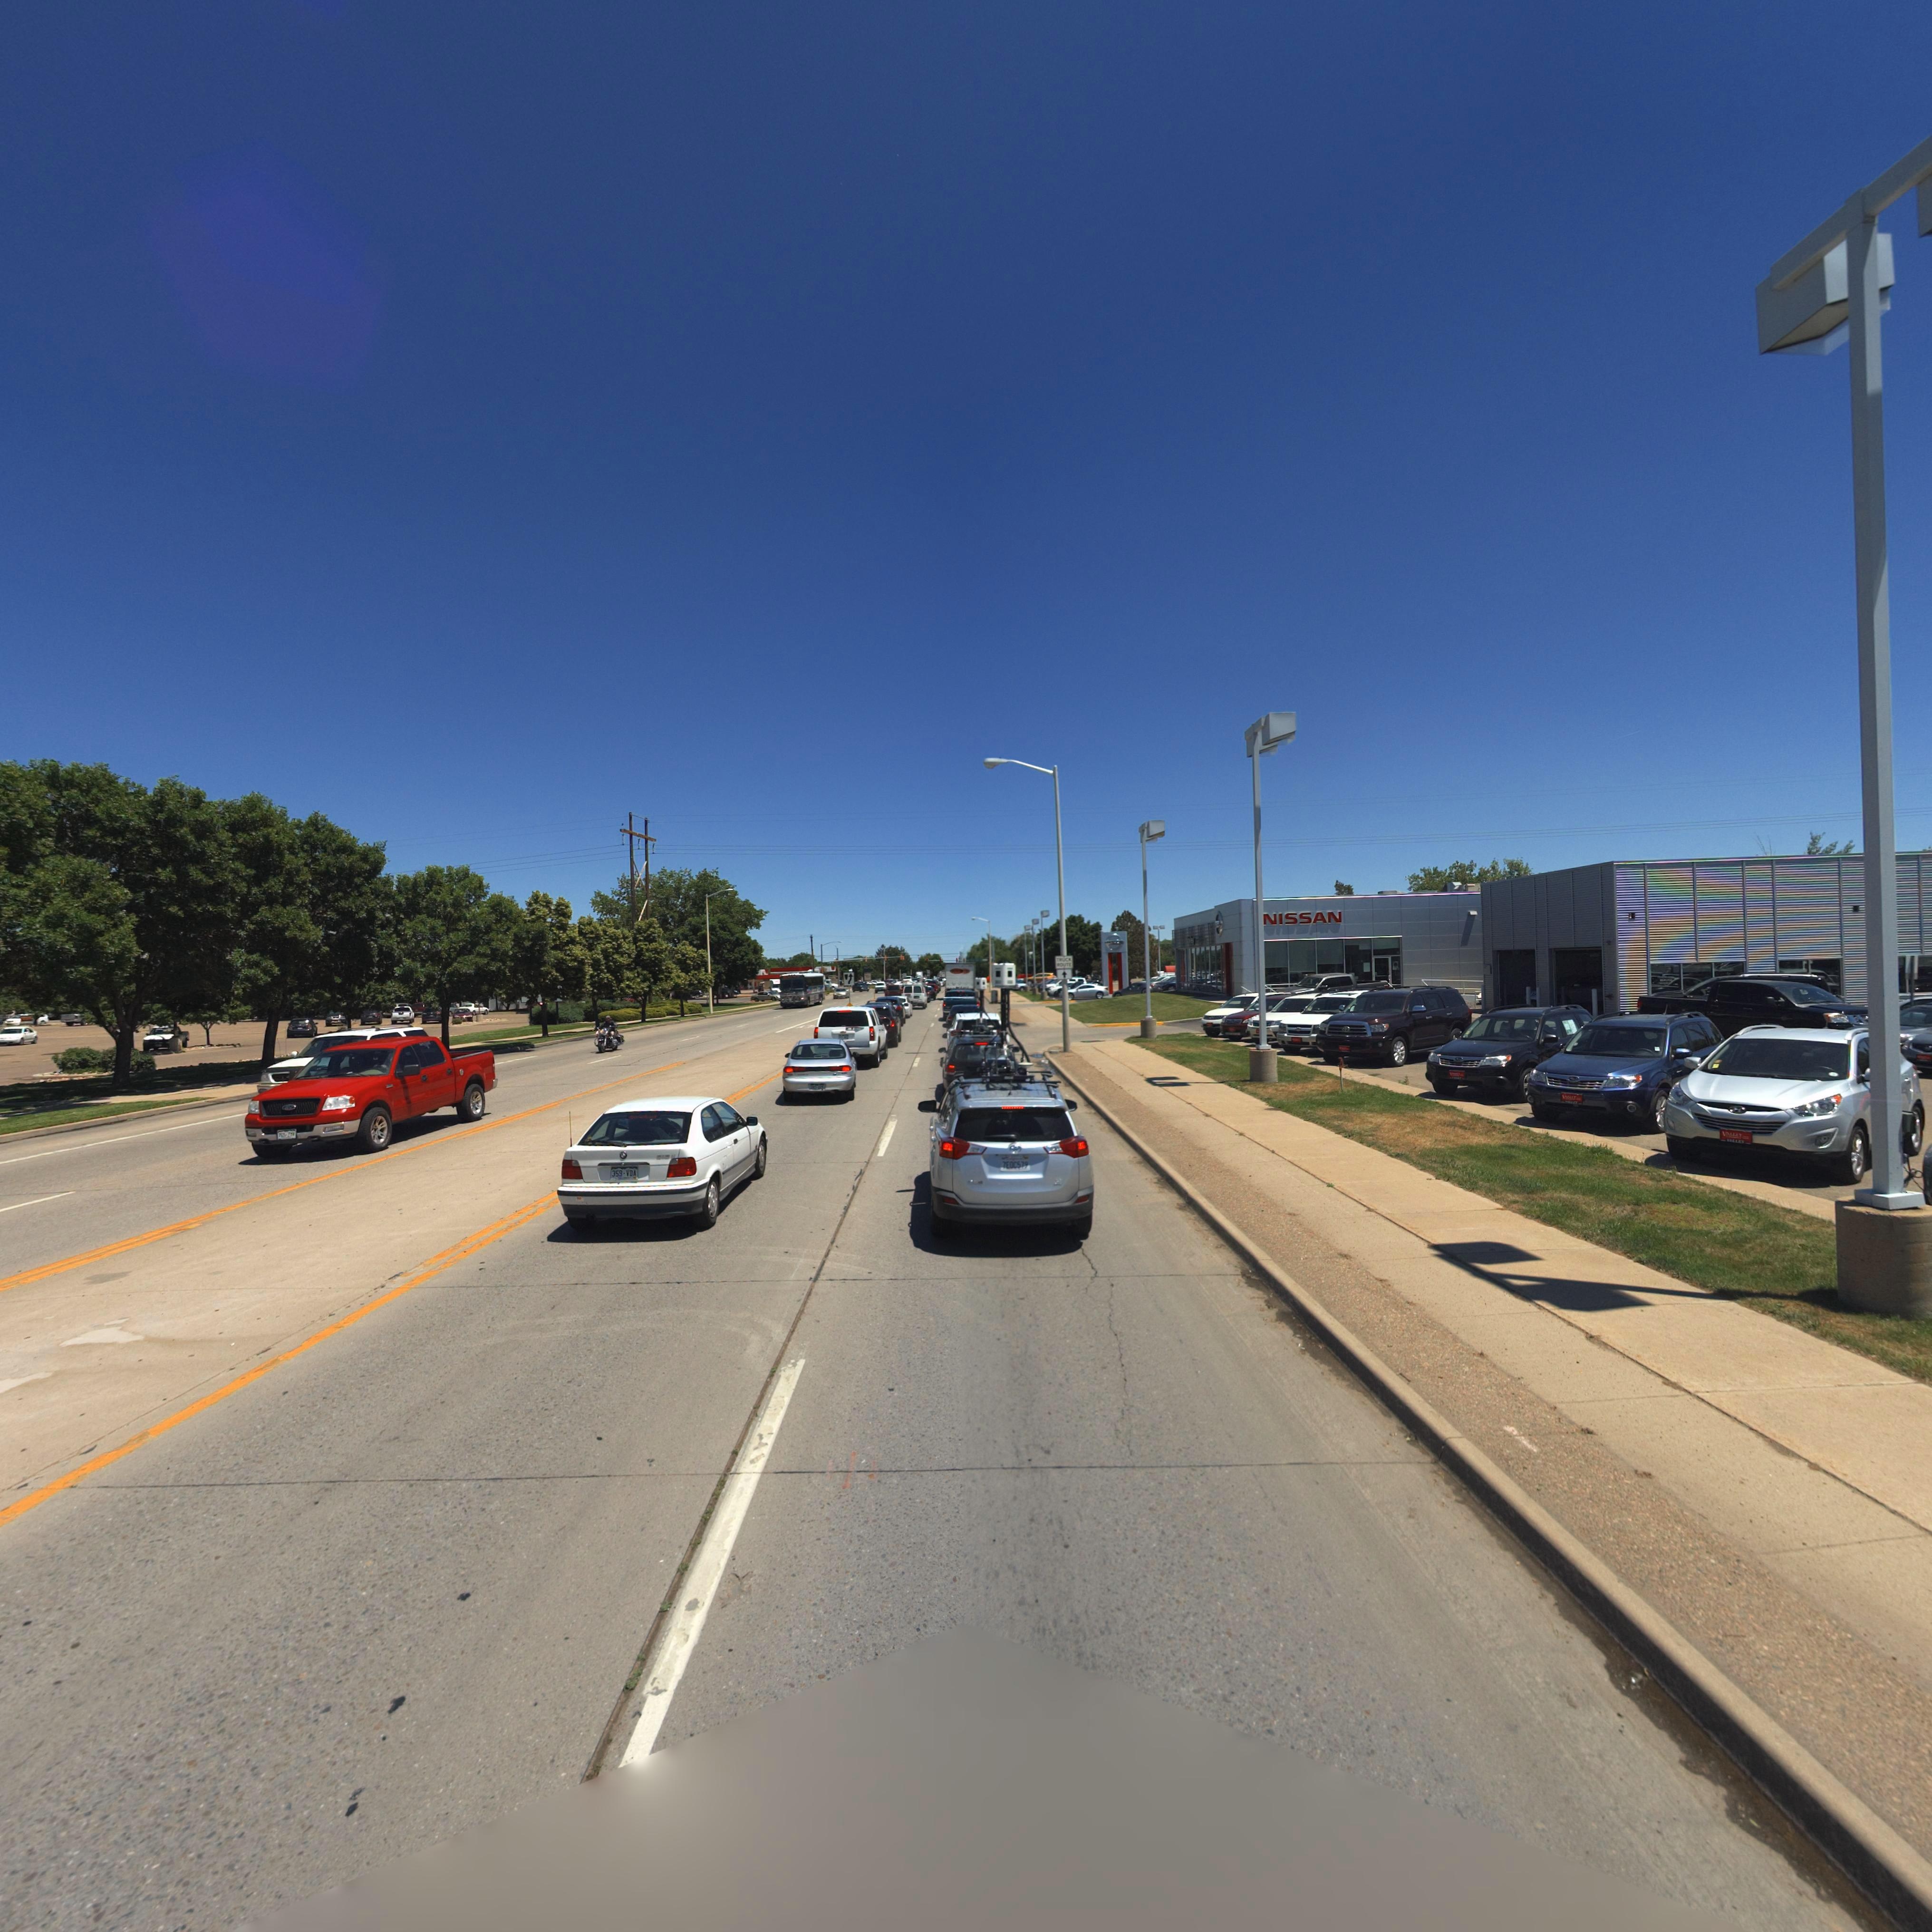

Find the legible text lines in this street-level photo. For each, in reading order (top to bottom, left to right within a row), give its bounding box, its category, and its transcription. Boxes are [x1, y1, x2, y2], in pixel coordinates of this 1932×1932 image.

[1263, 911, 1342, 926] BusinessName: NISSAN